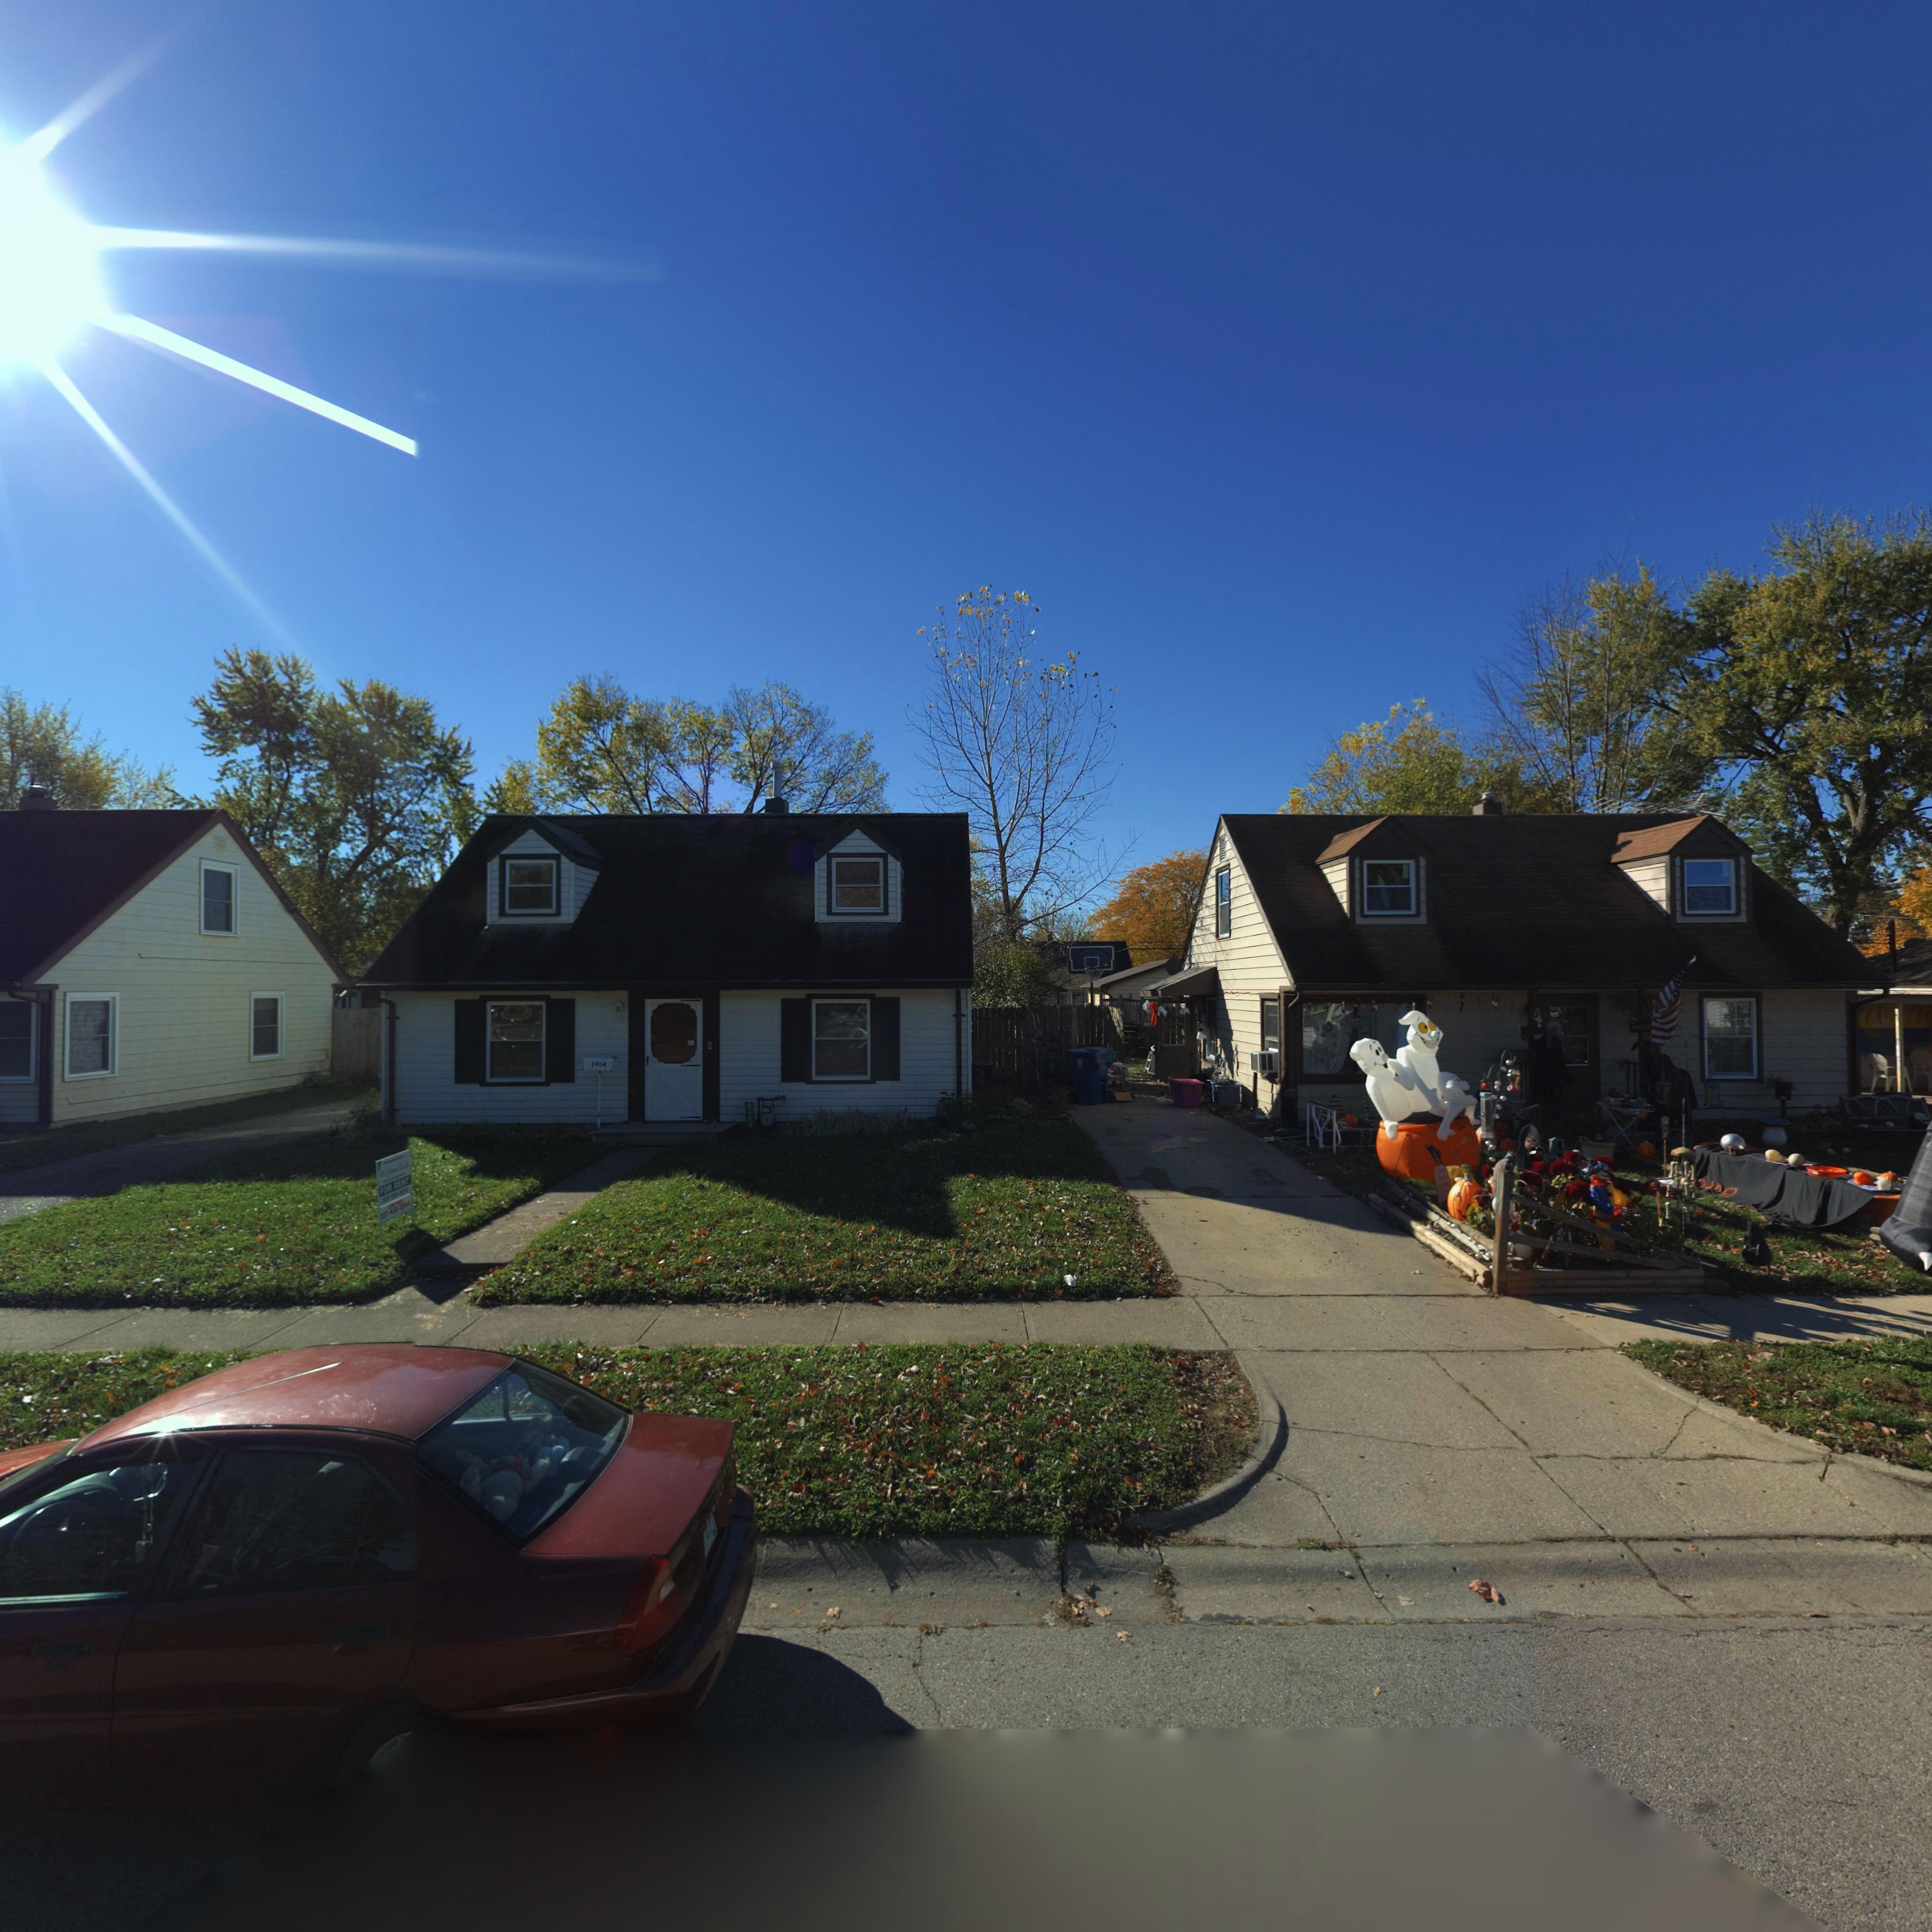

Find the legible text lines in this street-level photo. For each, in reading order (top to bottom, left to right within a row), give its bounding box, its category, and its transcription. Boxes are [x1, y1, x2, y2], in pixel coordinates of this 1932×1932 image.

[590, 1060, 608, 1068] StreetNumber: 2404
[746, 1102, 753, 1128] StreetNumber: 2404